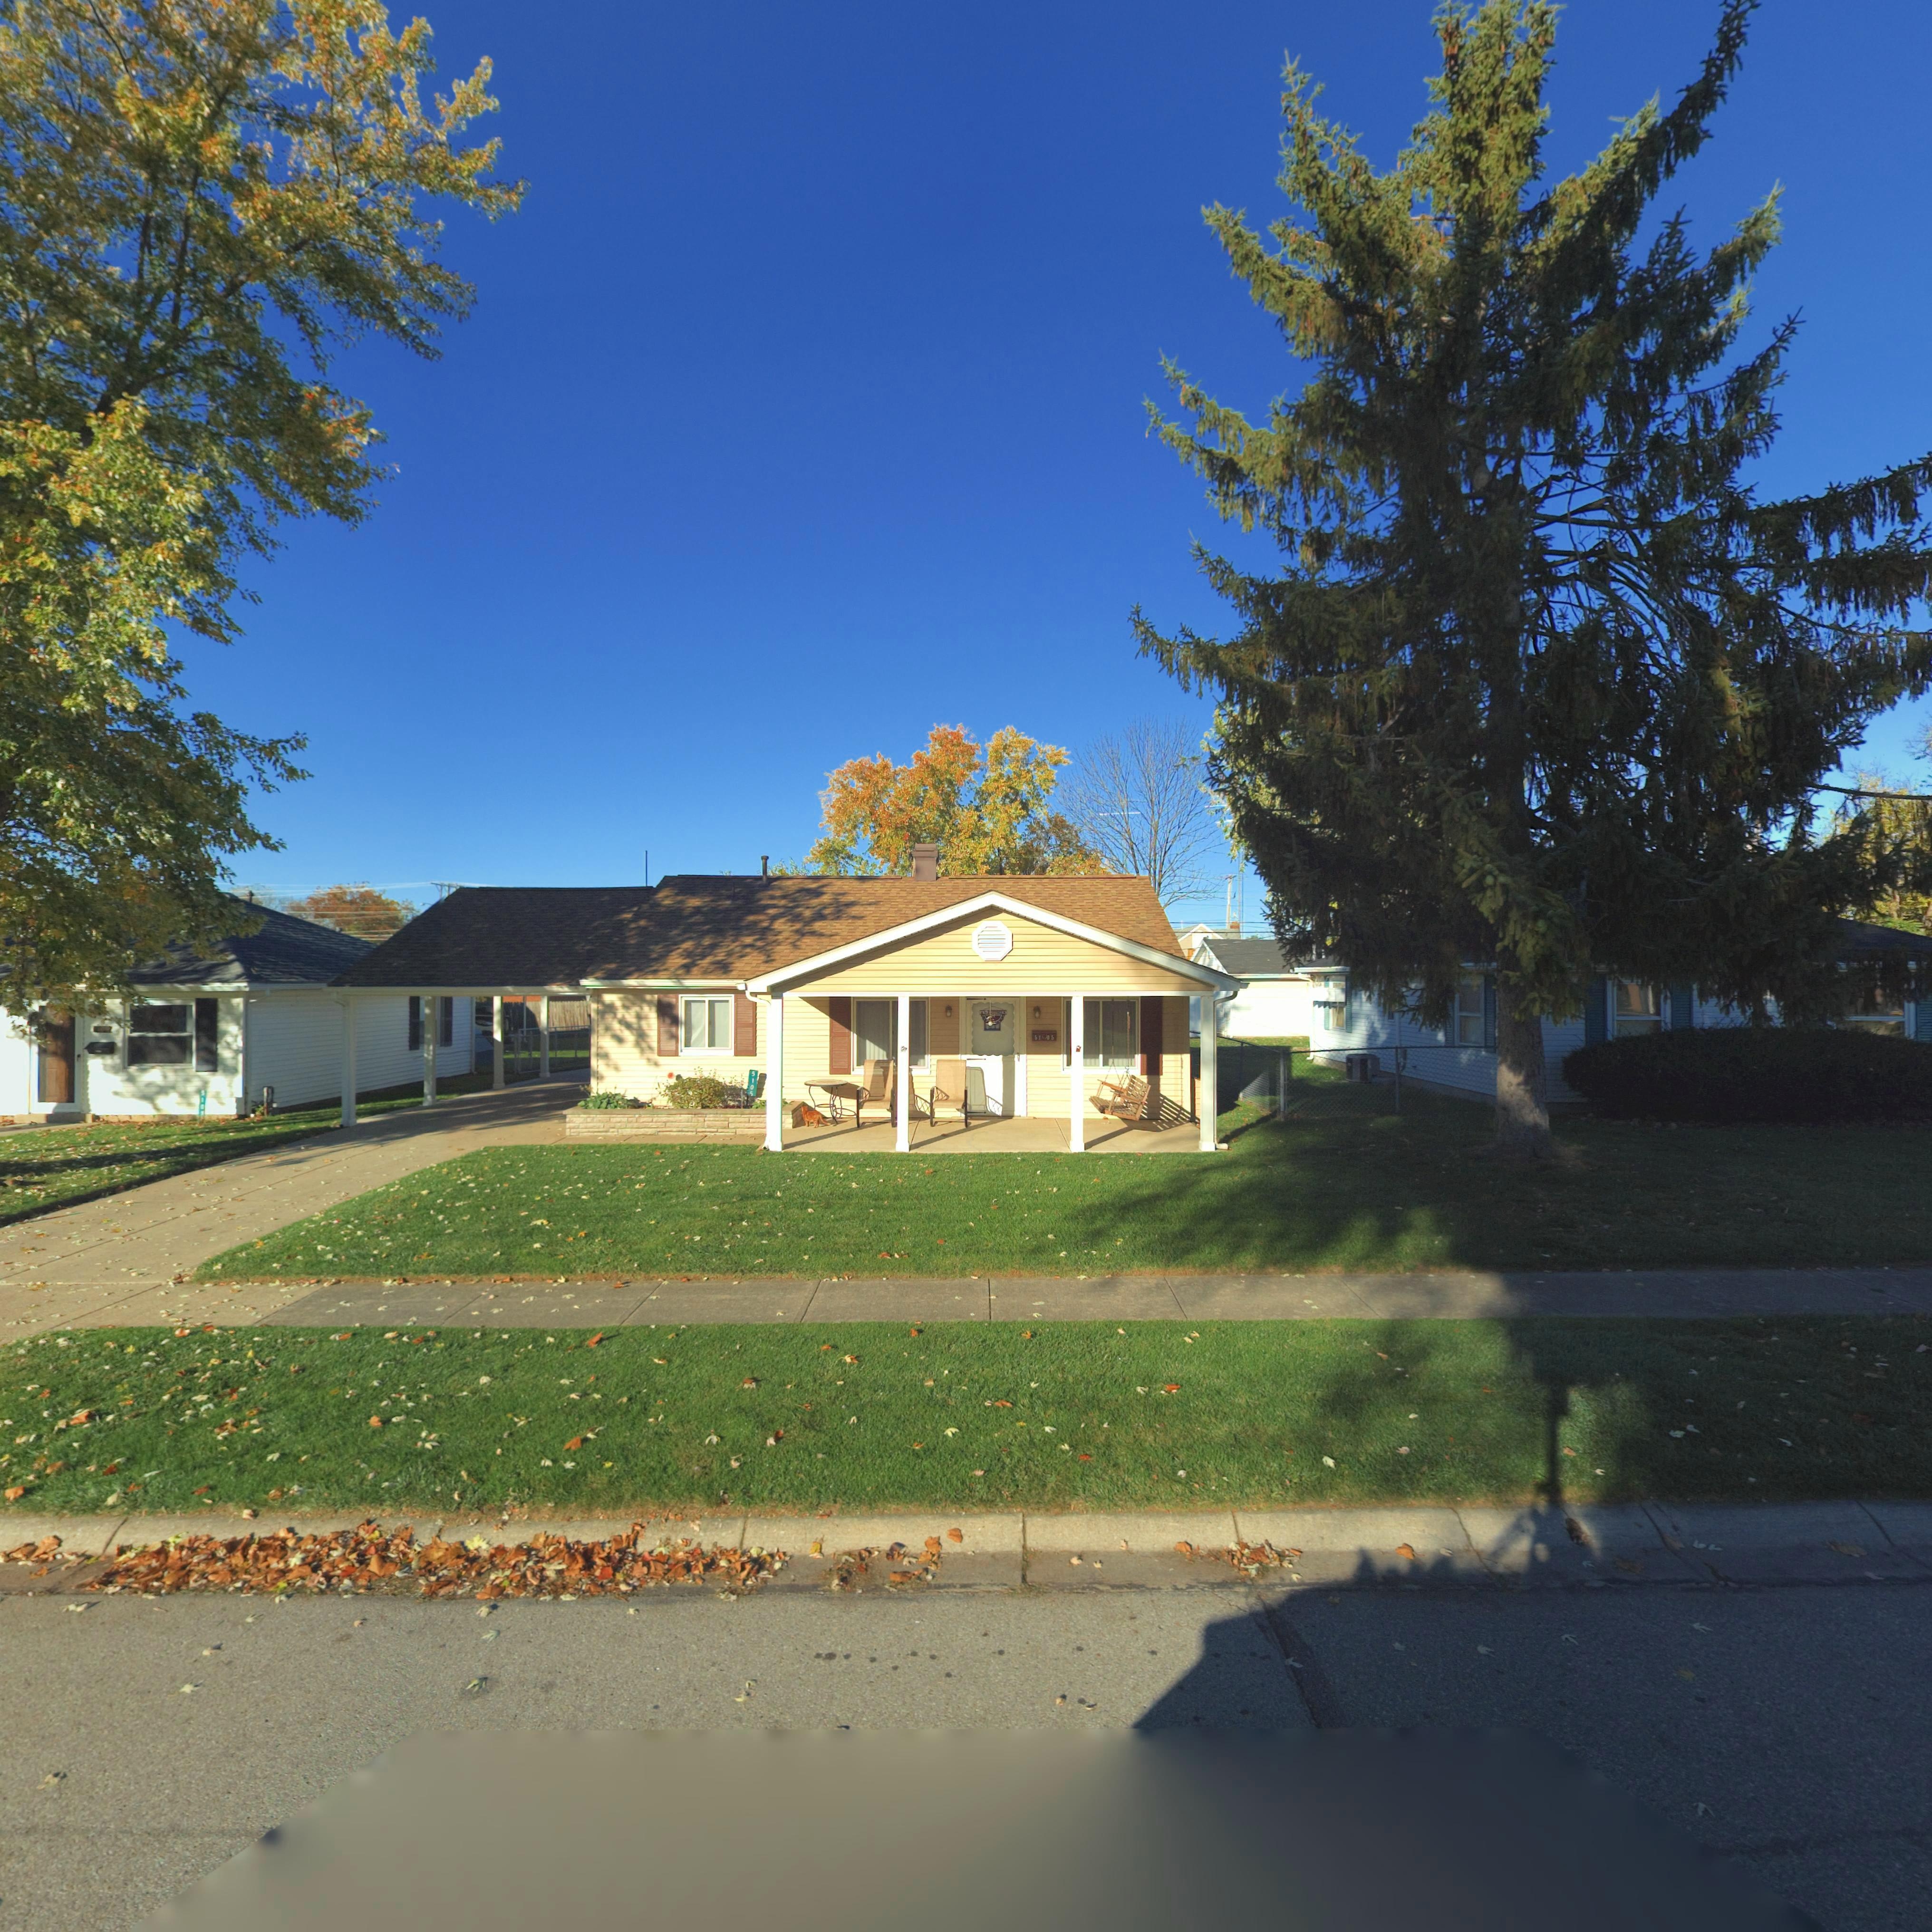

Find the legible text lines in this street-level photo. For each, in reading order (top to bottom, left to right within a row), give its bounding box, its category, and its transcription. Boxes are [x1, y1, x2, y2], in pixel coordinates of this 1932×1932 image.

[1034, 1034, 1054, 1041] StreetNumber: 51*05
[749, 1070, 756, 1096] StreetNumber: 5105
[199, 1090, 206, 1117] StreetNumber: 5109